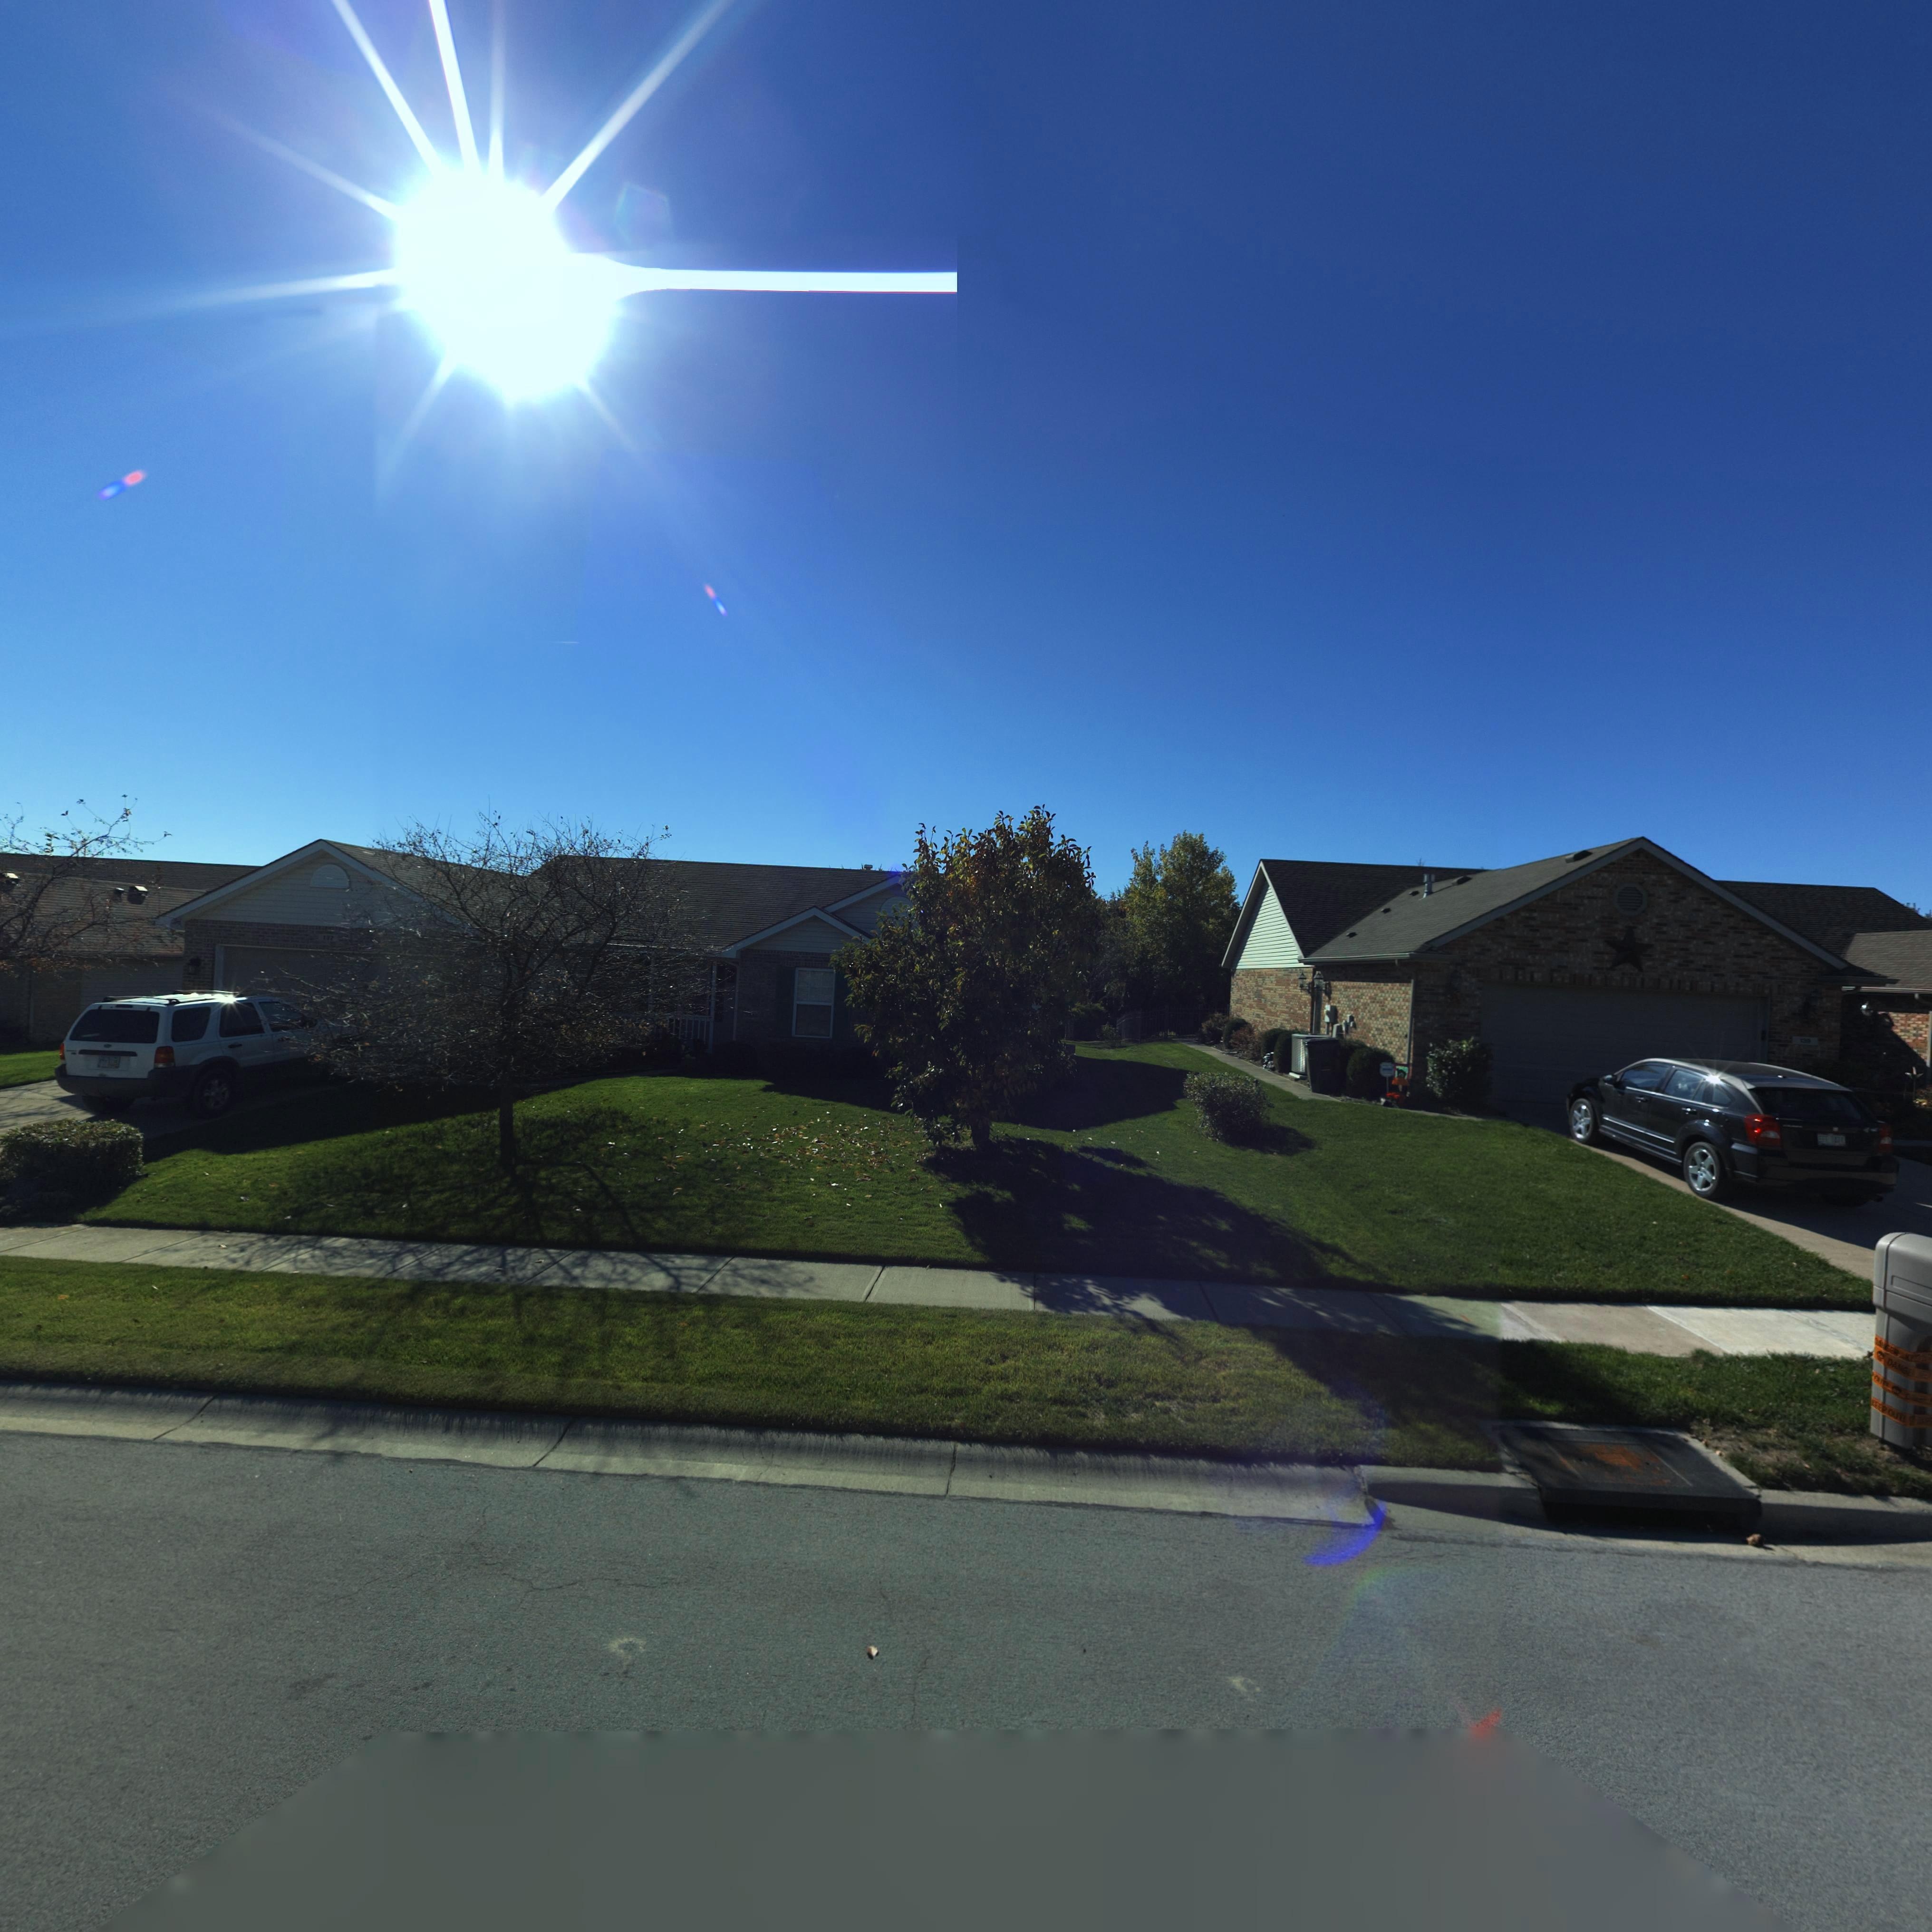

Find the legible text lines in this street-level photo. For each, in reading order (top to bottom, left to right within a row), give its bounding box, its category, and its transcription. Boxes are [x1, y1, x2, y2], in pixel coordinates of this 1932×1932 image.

[322, 935, 335, 942] StreetNumber: 137
[1800, 1038, 1811, 1044] StreetNumber: 139